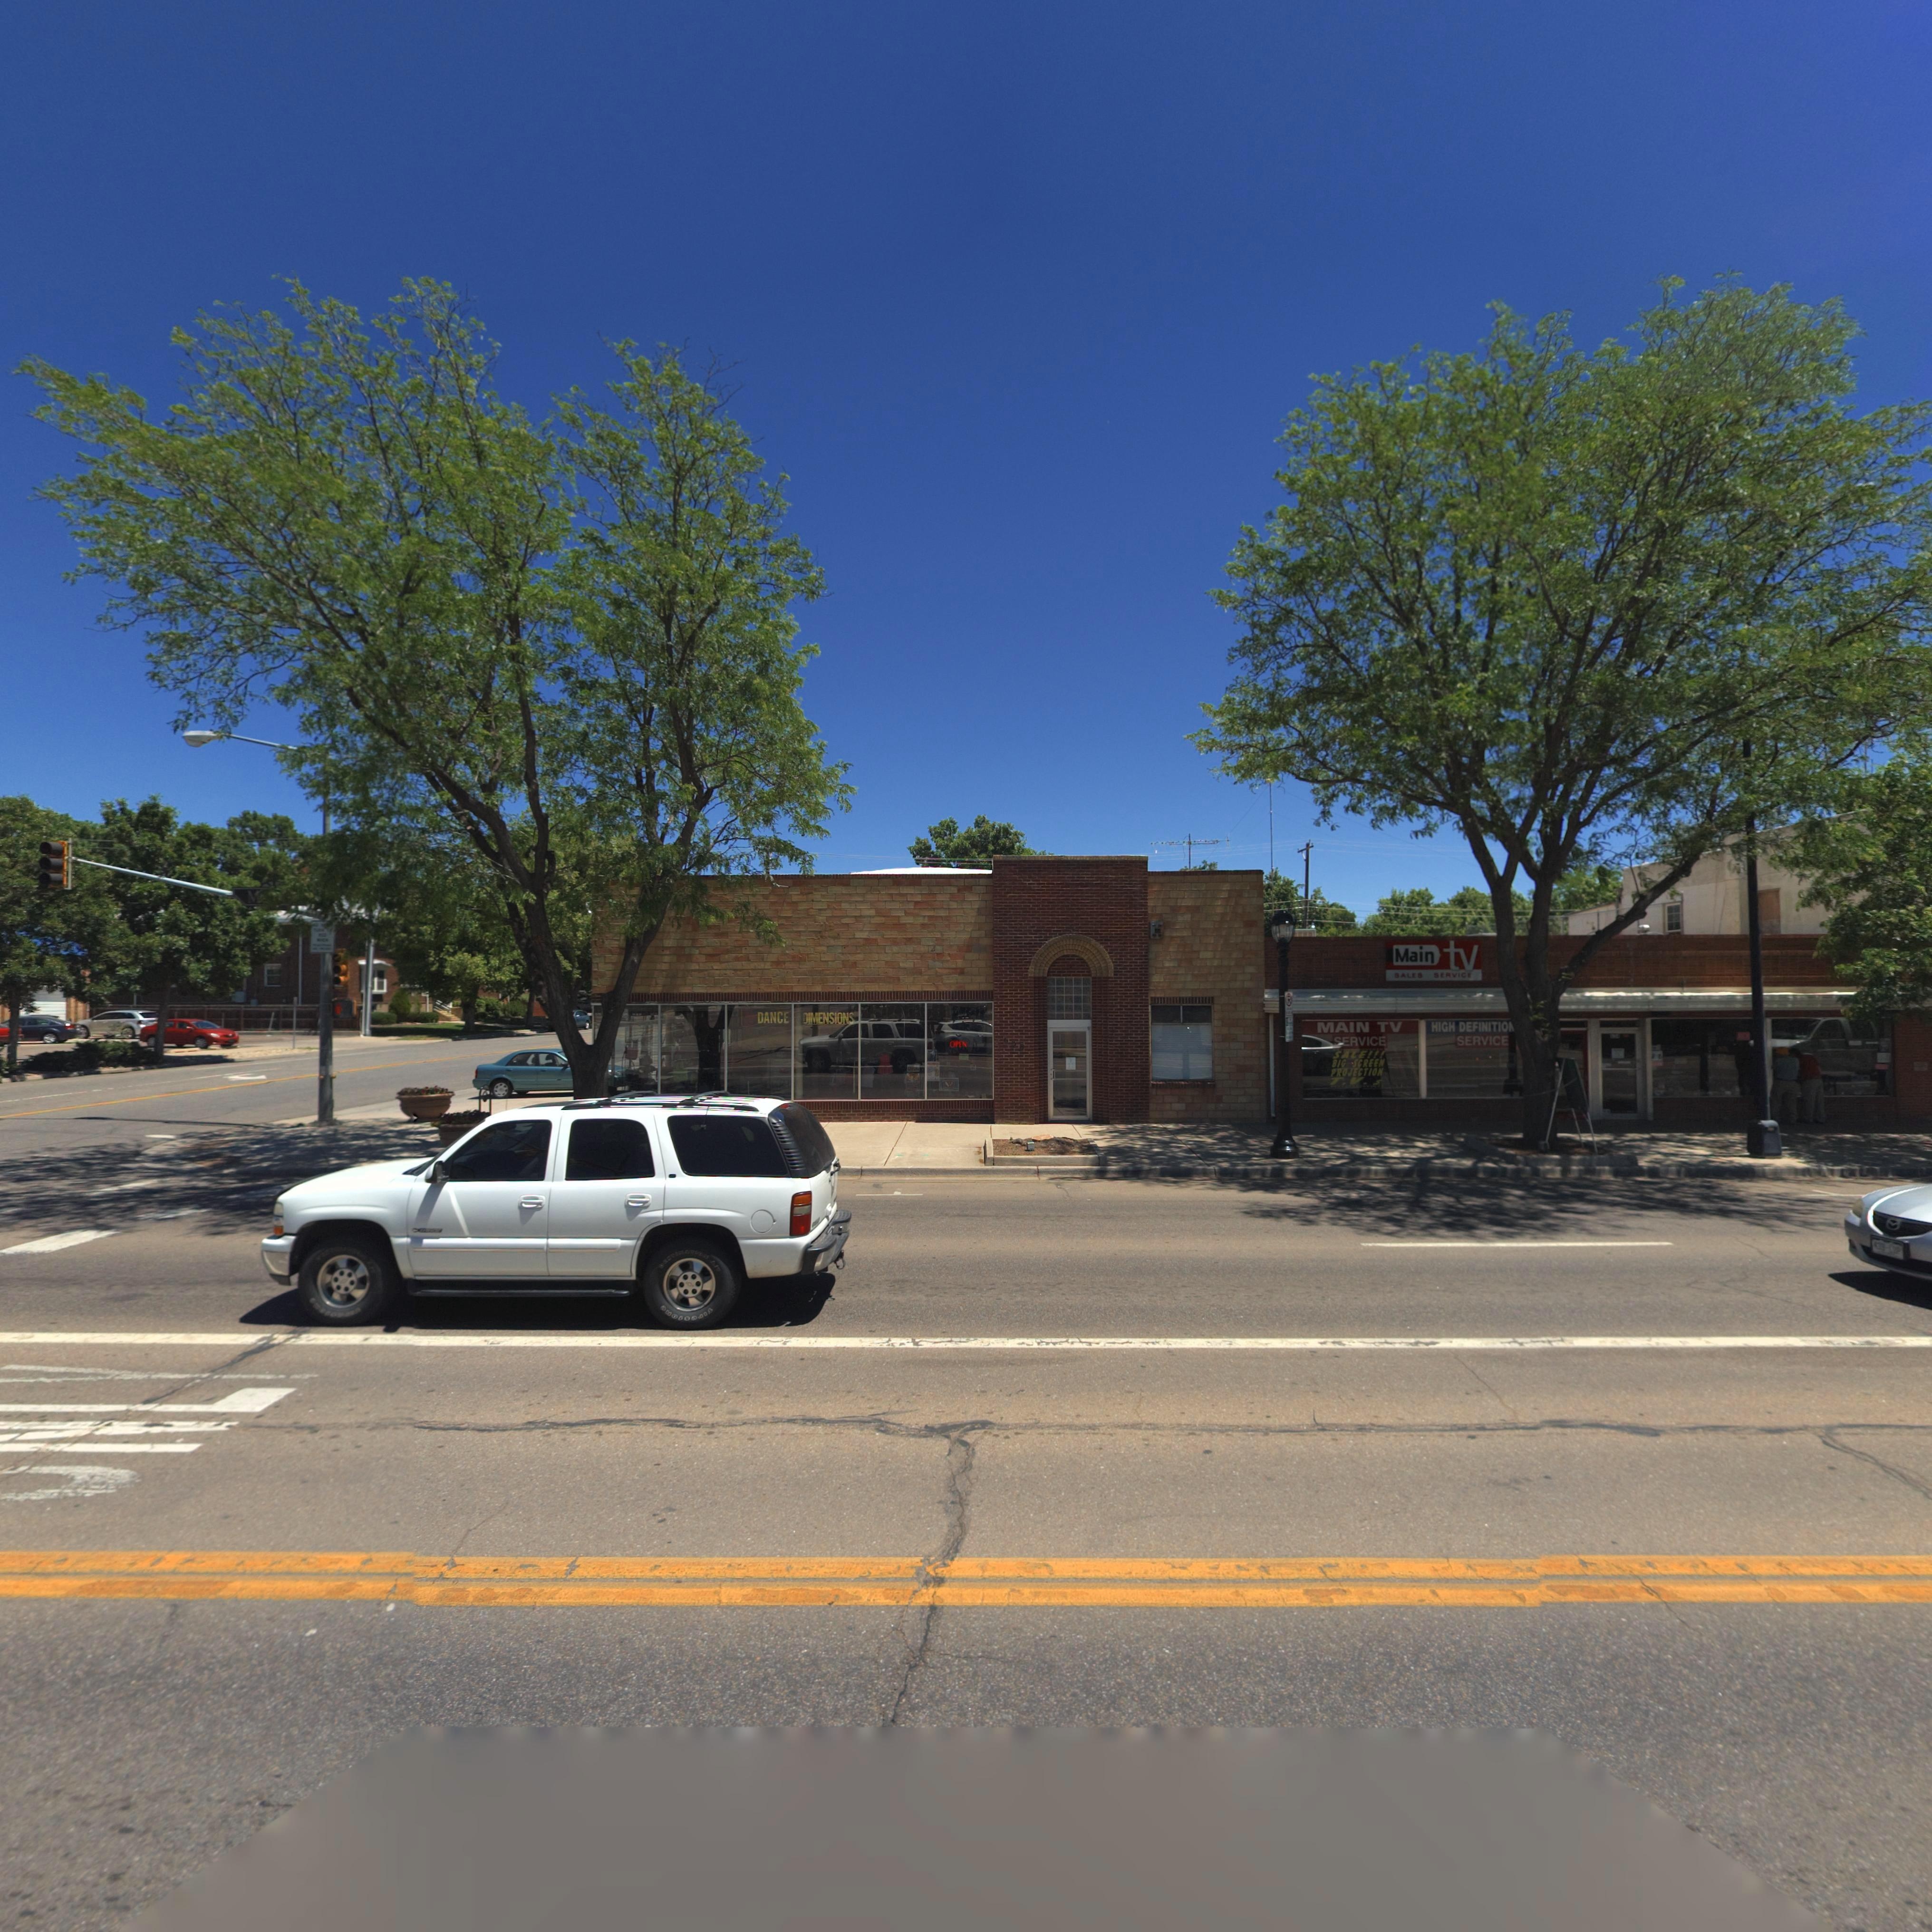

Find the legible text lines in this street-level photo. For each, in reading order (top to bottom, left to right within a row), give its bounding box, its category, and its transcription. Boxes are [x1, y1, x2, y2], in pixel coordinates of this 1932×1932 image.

[247, 889, 260, 903] StreetName: M
[1395, 940, 1479, 972] BusinessName: Main tv
[757, 1012, 789, 1024] BusinessName: DANCE
[802, 1012, 854, 1024] BusinessName: DIMENSIONS
[1317, 1021, 1402, 1033] BusinessName: MAIN TV
[1611, 1034, 1620, 1038] StreetNumber: 6354